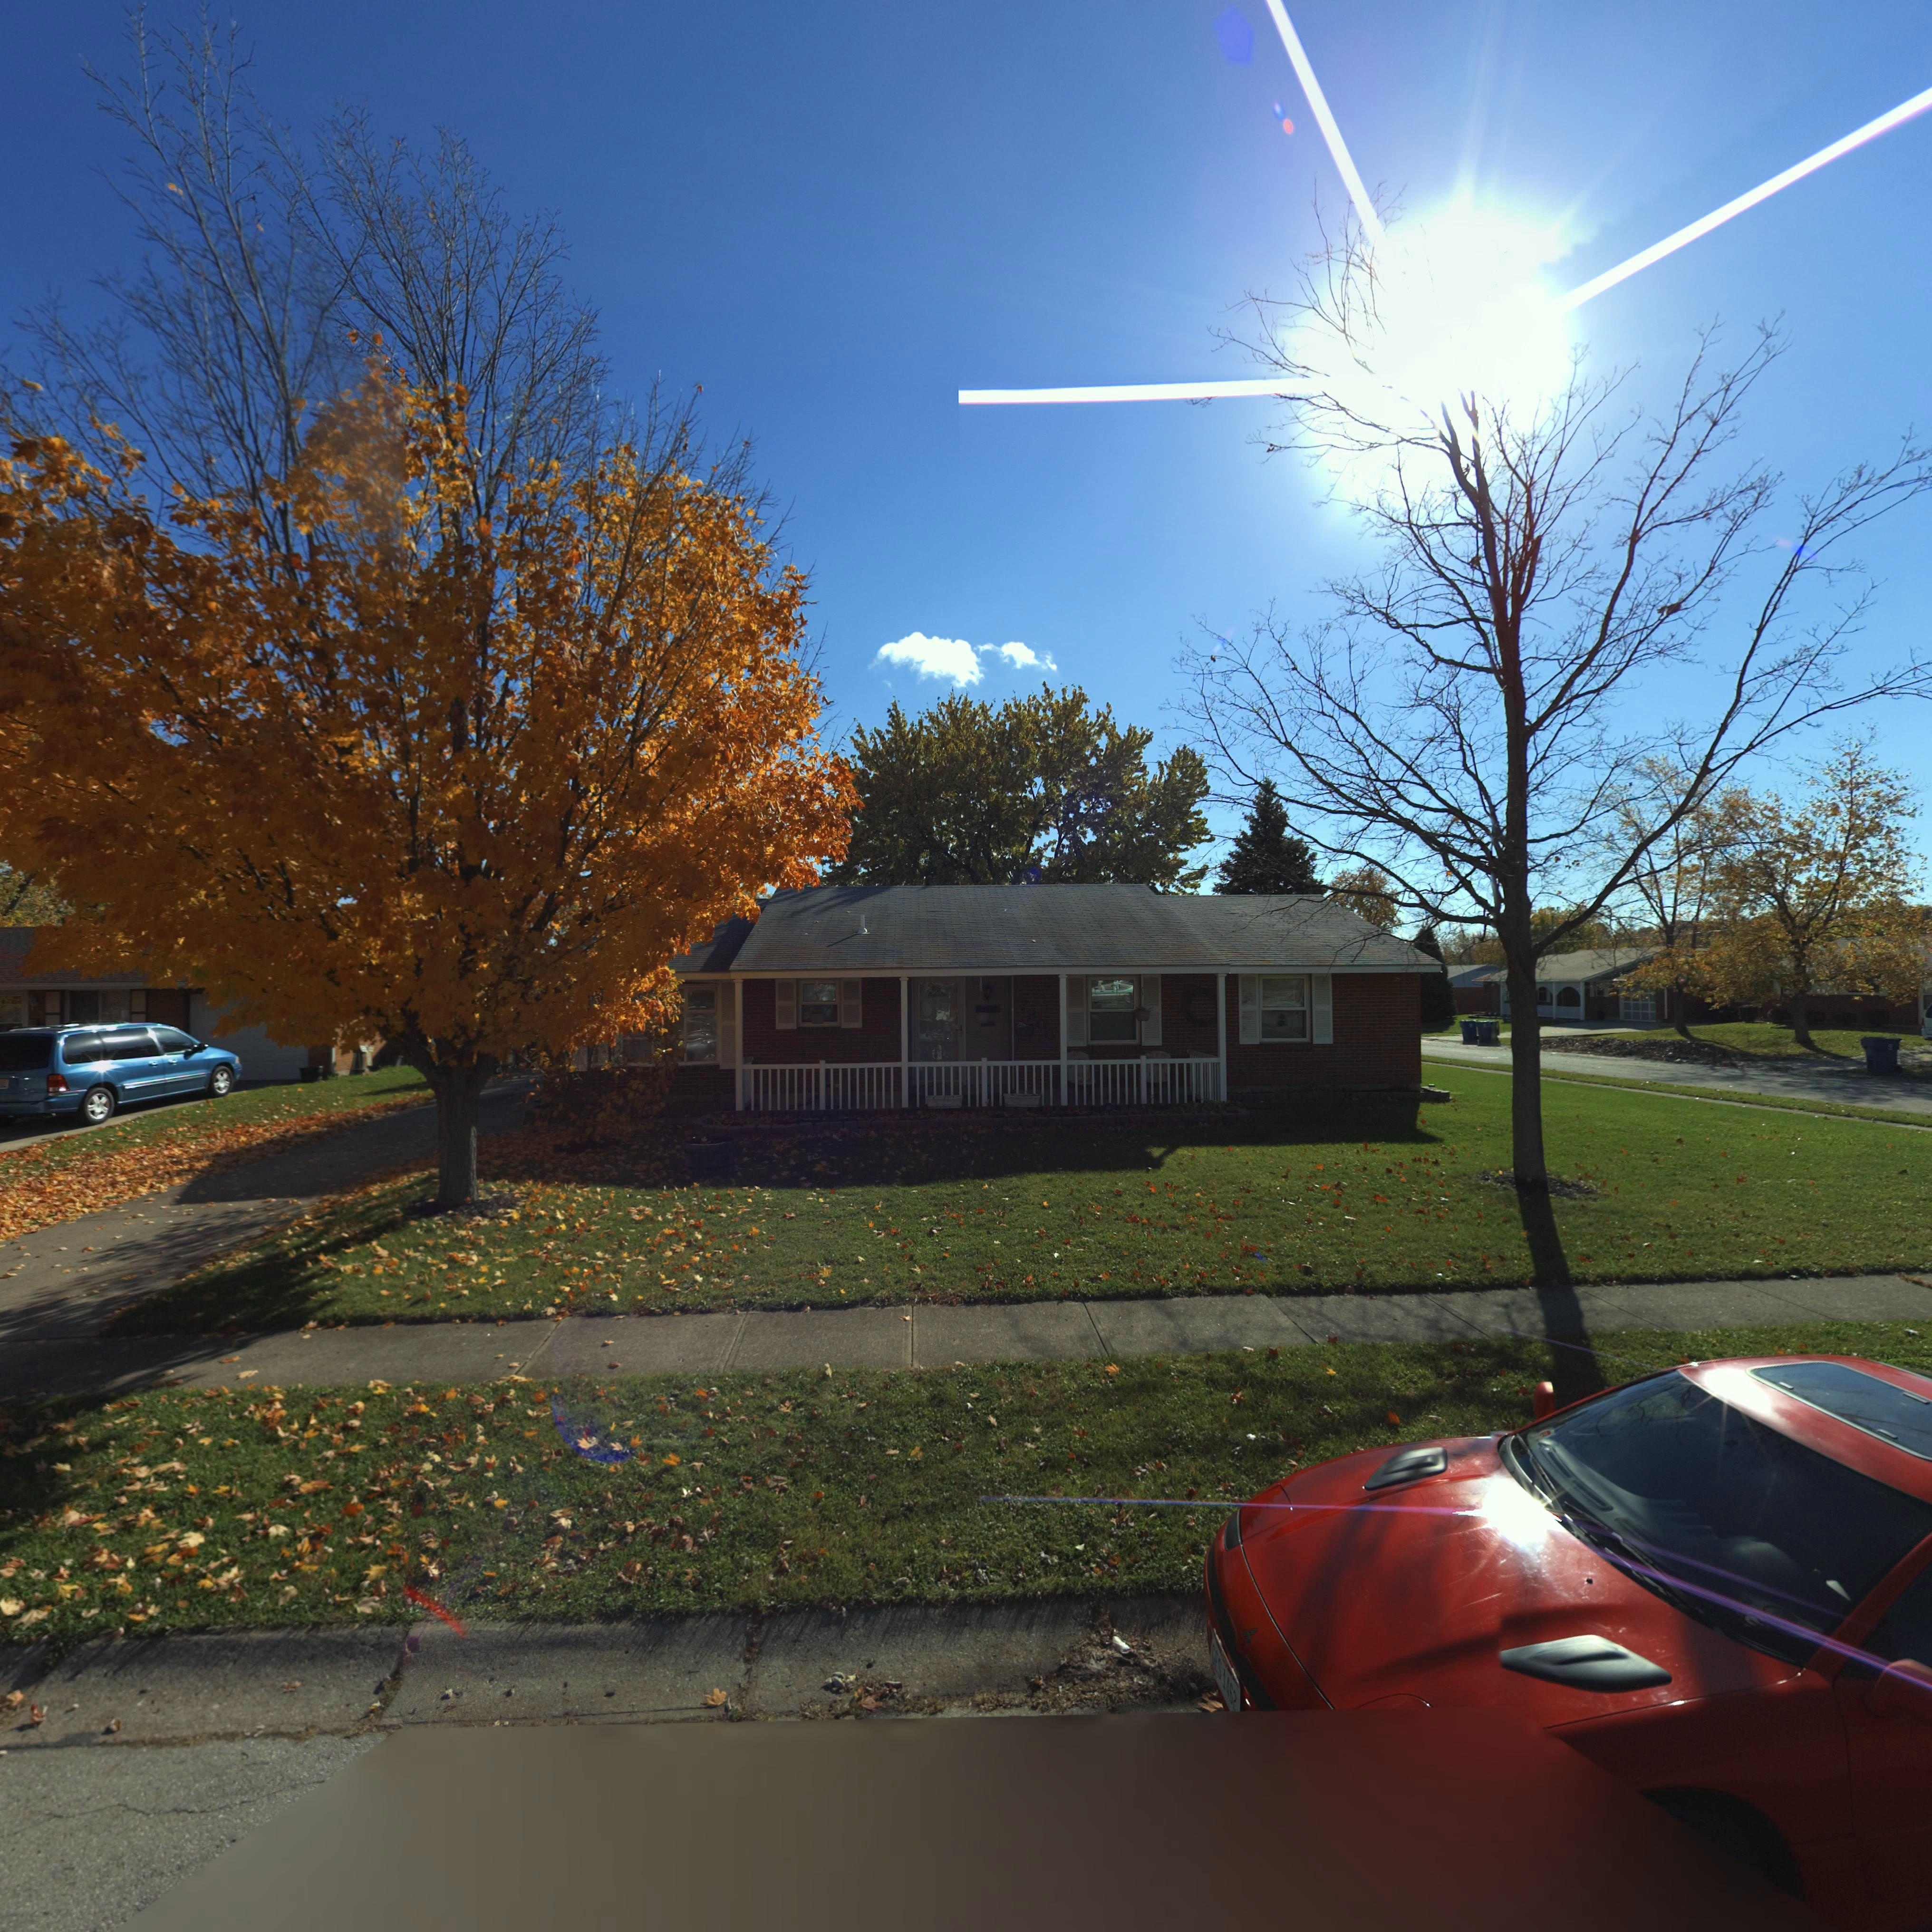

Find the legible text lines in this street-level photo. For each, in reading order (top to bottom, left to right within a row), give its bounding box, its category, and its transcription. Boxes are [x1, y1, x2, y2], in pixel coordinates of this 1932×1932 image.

[1018, 999, 1056, 1041] StreetNumber: 7800